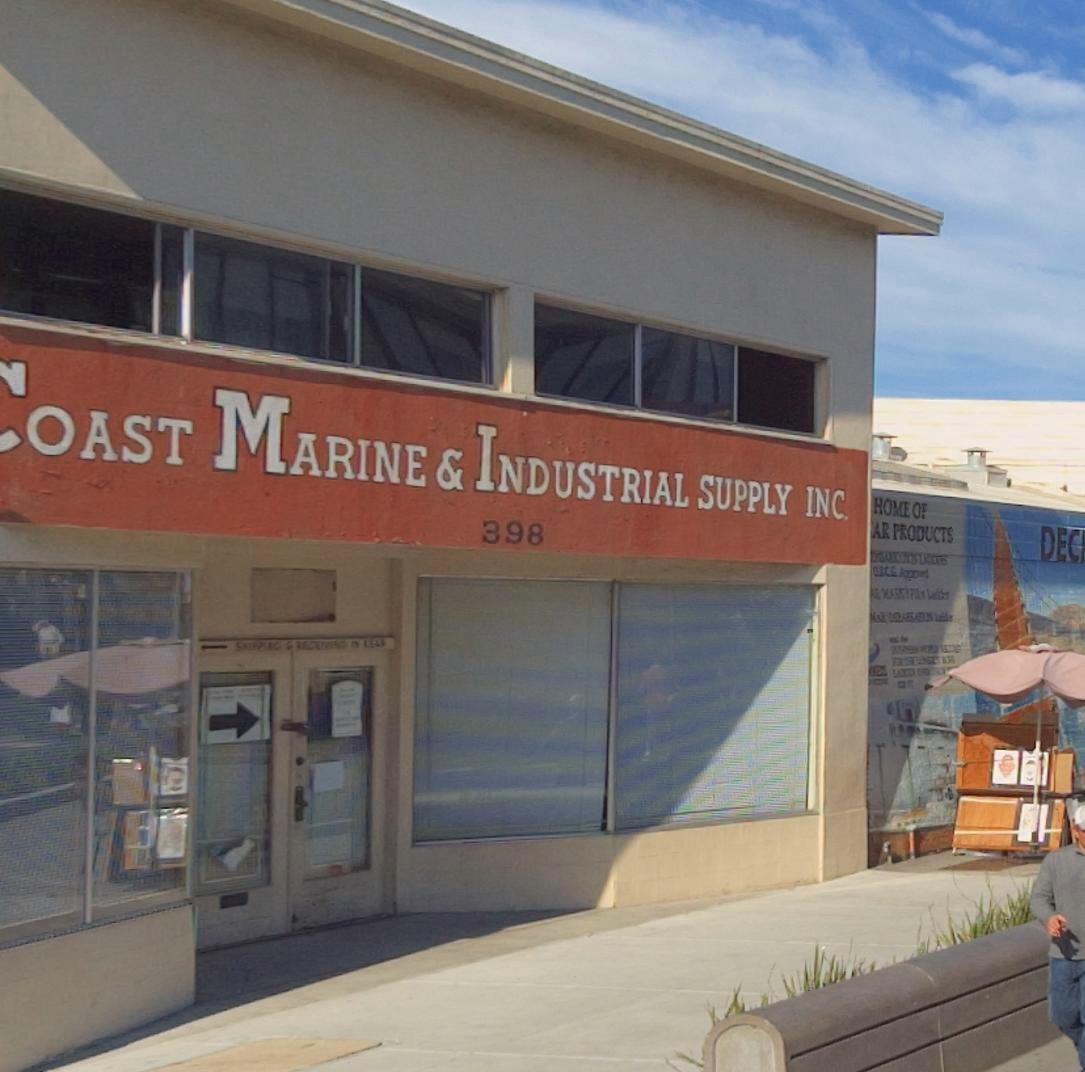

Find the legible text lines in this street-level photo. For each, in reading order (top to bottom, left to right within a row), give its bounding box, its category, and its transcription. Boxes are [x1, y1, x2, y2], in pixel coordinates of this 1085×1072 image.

[25, 387, 850, 524] BusinessName: OAST MARINE & INDUSTRIAL SUPPLY INC.
[873, 495, 930, 520] None: HOME OF
[482, 519, 544, 547] StreetNumber: 398
[871, 521, 954, 546] None: AR PRODUCTS
[1039, 524, 1081, 564] None: DEC
[233, 637, 388, 651] None: SHIPPING & RECEIVING IN REAR